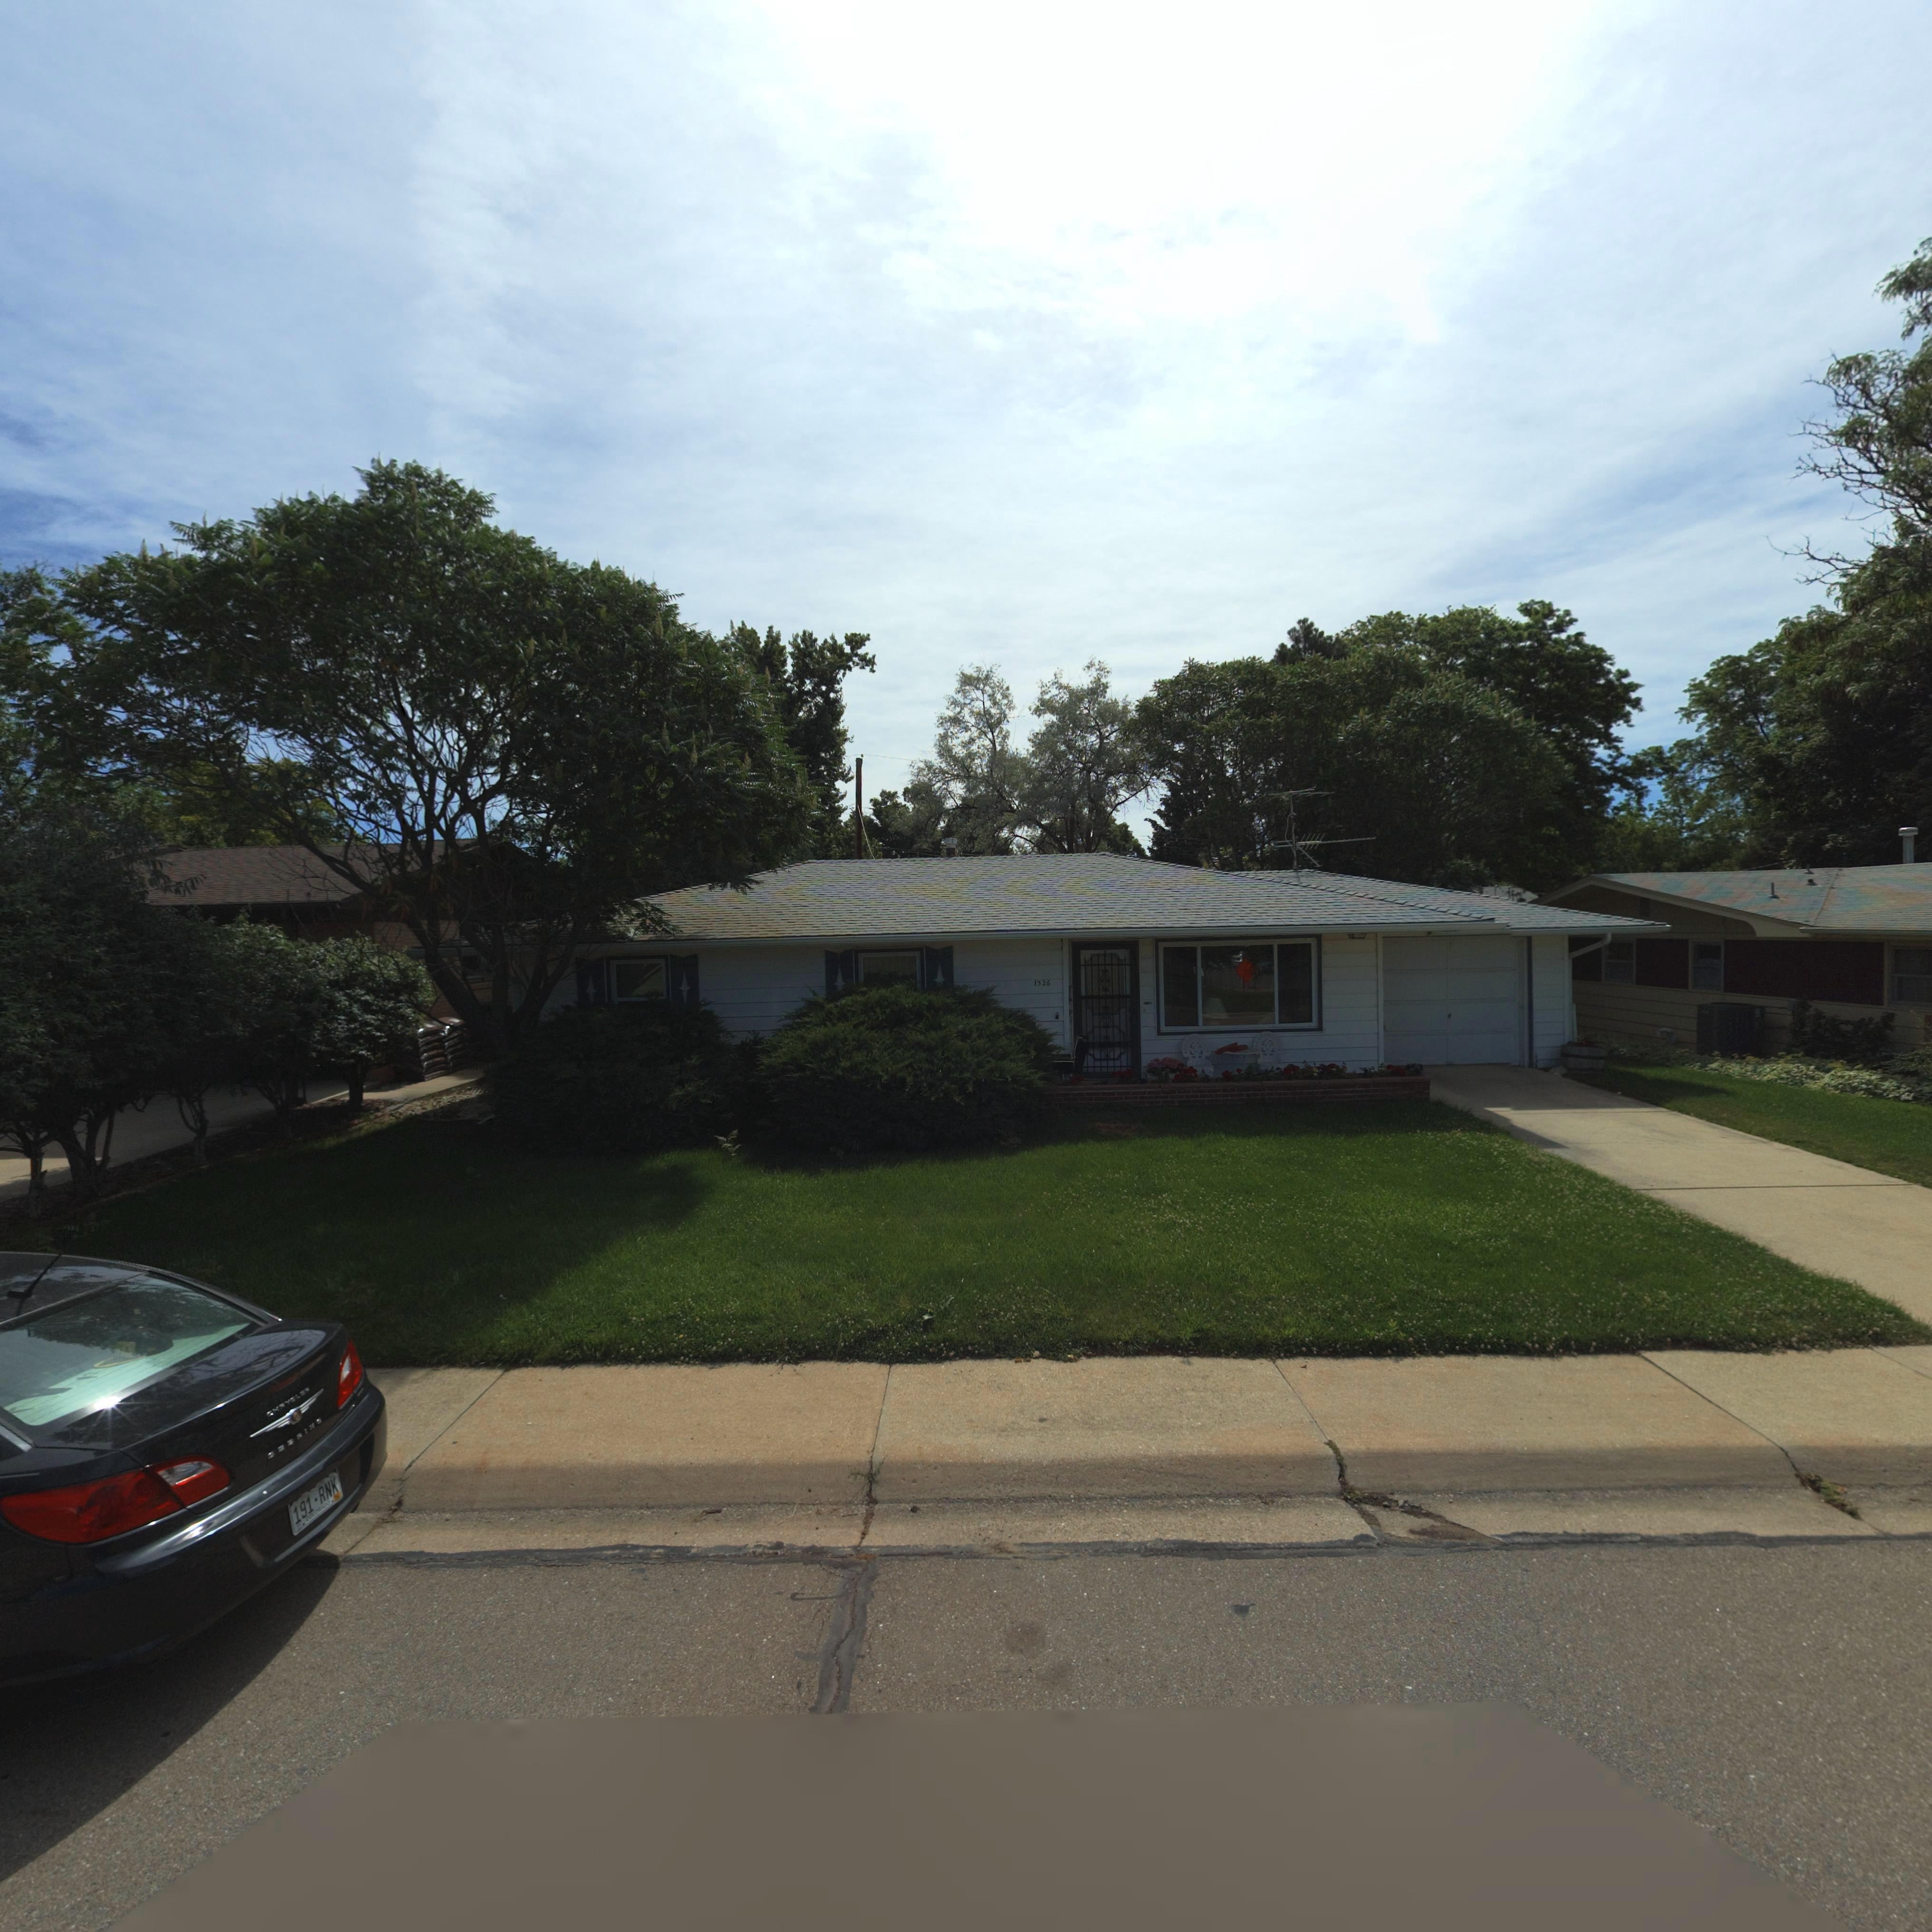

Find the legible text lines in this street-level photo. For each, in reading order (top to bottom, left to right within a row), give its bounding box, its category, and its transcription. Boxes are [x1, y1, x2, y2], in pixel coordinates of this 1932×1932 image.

[1034, 979, 1050, 986] StreetNumber: 1*26